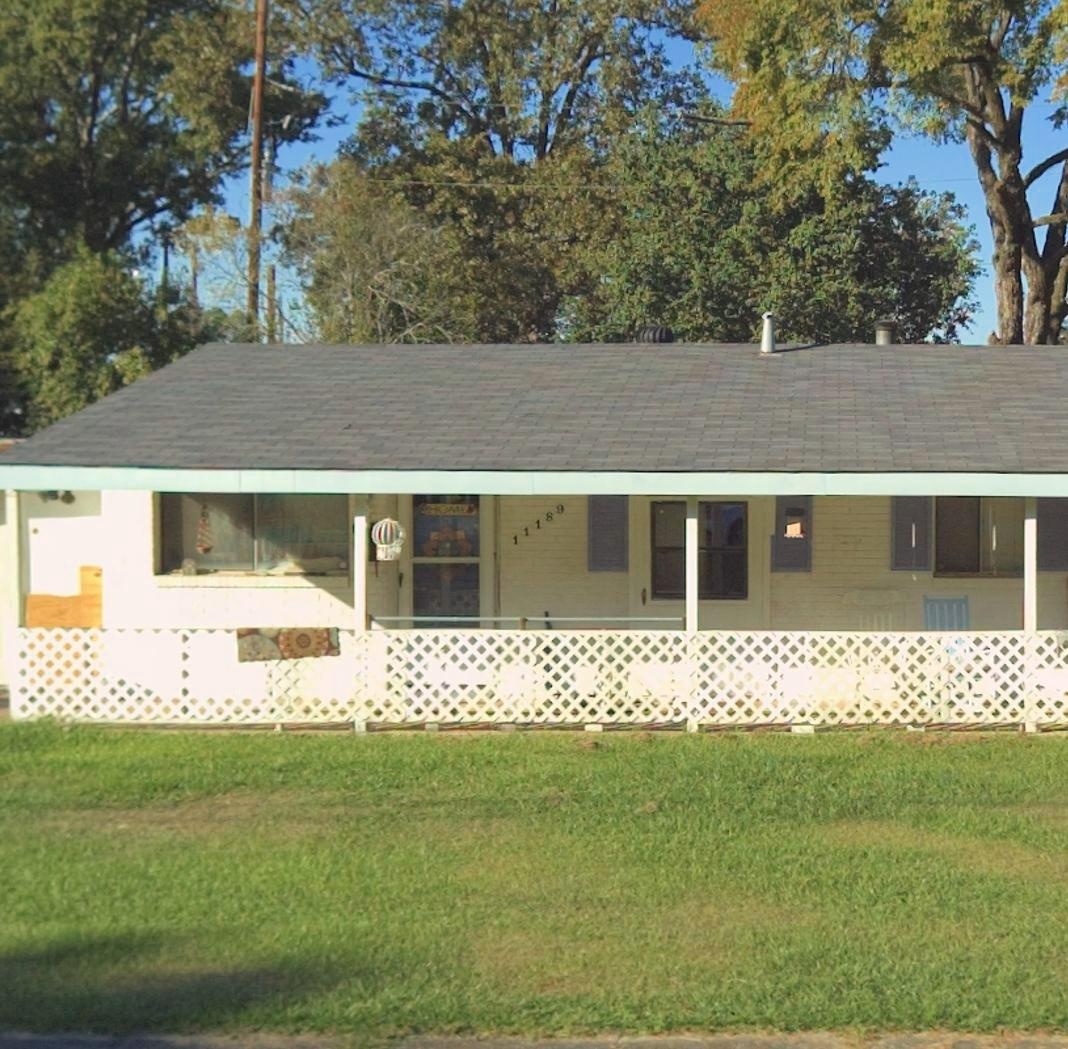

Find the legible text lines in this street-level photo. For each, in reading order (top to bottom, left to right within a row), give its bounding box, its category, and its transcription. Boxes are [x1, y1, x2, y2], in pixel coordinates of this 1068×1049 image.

[427, 504, 468, 515] None: HOME
[511, 503, 565, 547] StreetNumber: 11189